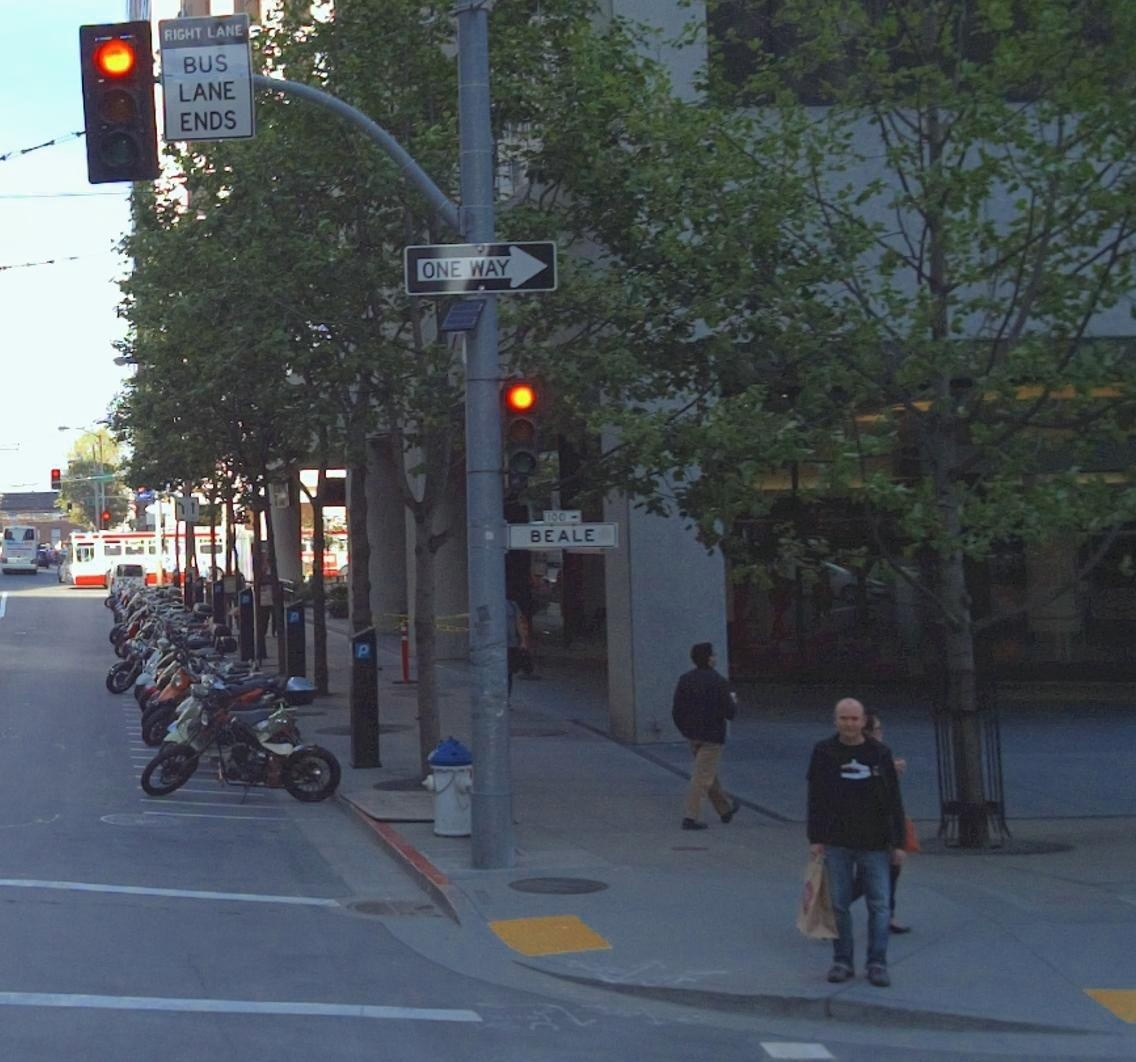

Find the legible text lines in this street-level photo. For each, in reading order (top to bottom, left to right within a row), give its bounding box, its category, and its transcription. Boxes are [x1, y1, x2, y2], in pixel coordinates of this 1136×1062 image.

[161, 21, 246, 45] None: RIGHT LANE
[181, 51, 231, 77] None: BUS
[176, 77, 238, 106] None: LANE
[177, 107, 241, 135] None: ENDS
[419, 256, 513, 282] None: ONE WAY
[544, 511, 580, 524] StreetNumberRange: 10*->
[527, 526, 597, 545] StreetName: BEALE
[287, 610, 302, 625] None: P
[354, 641, 371, 660] None: P